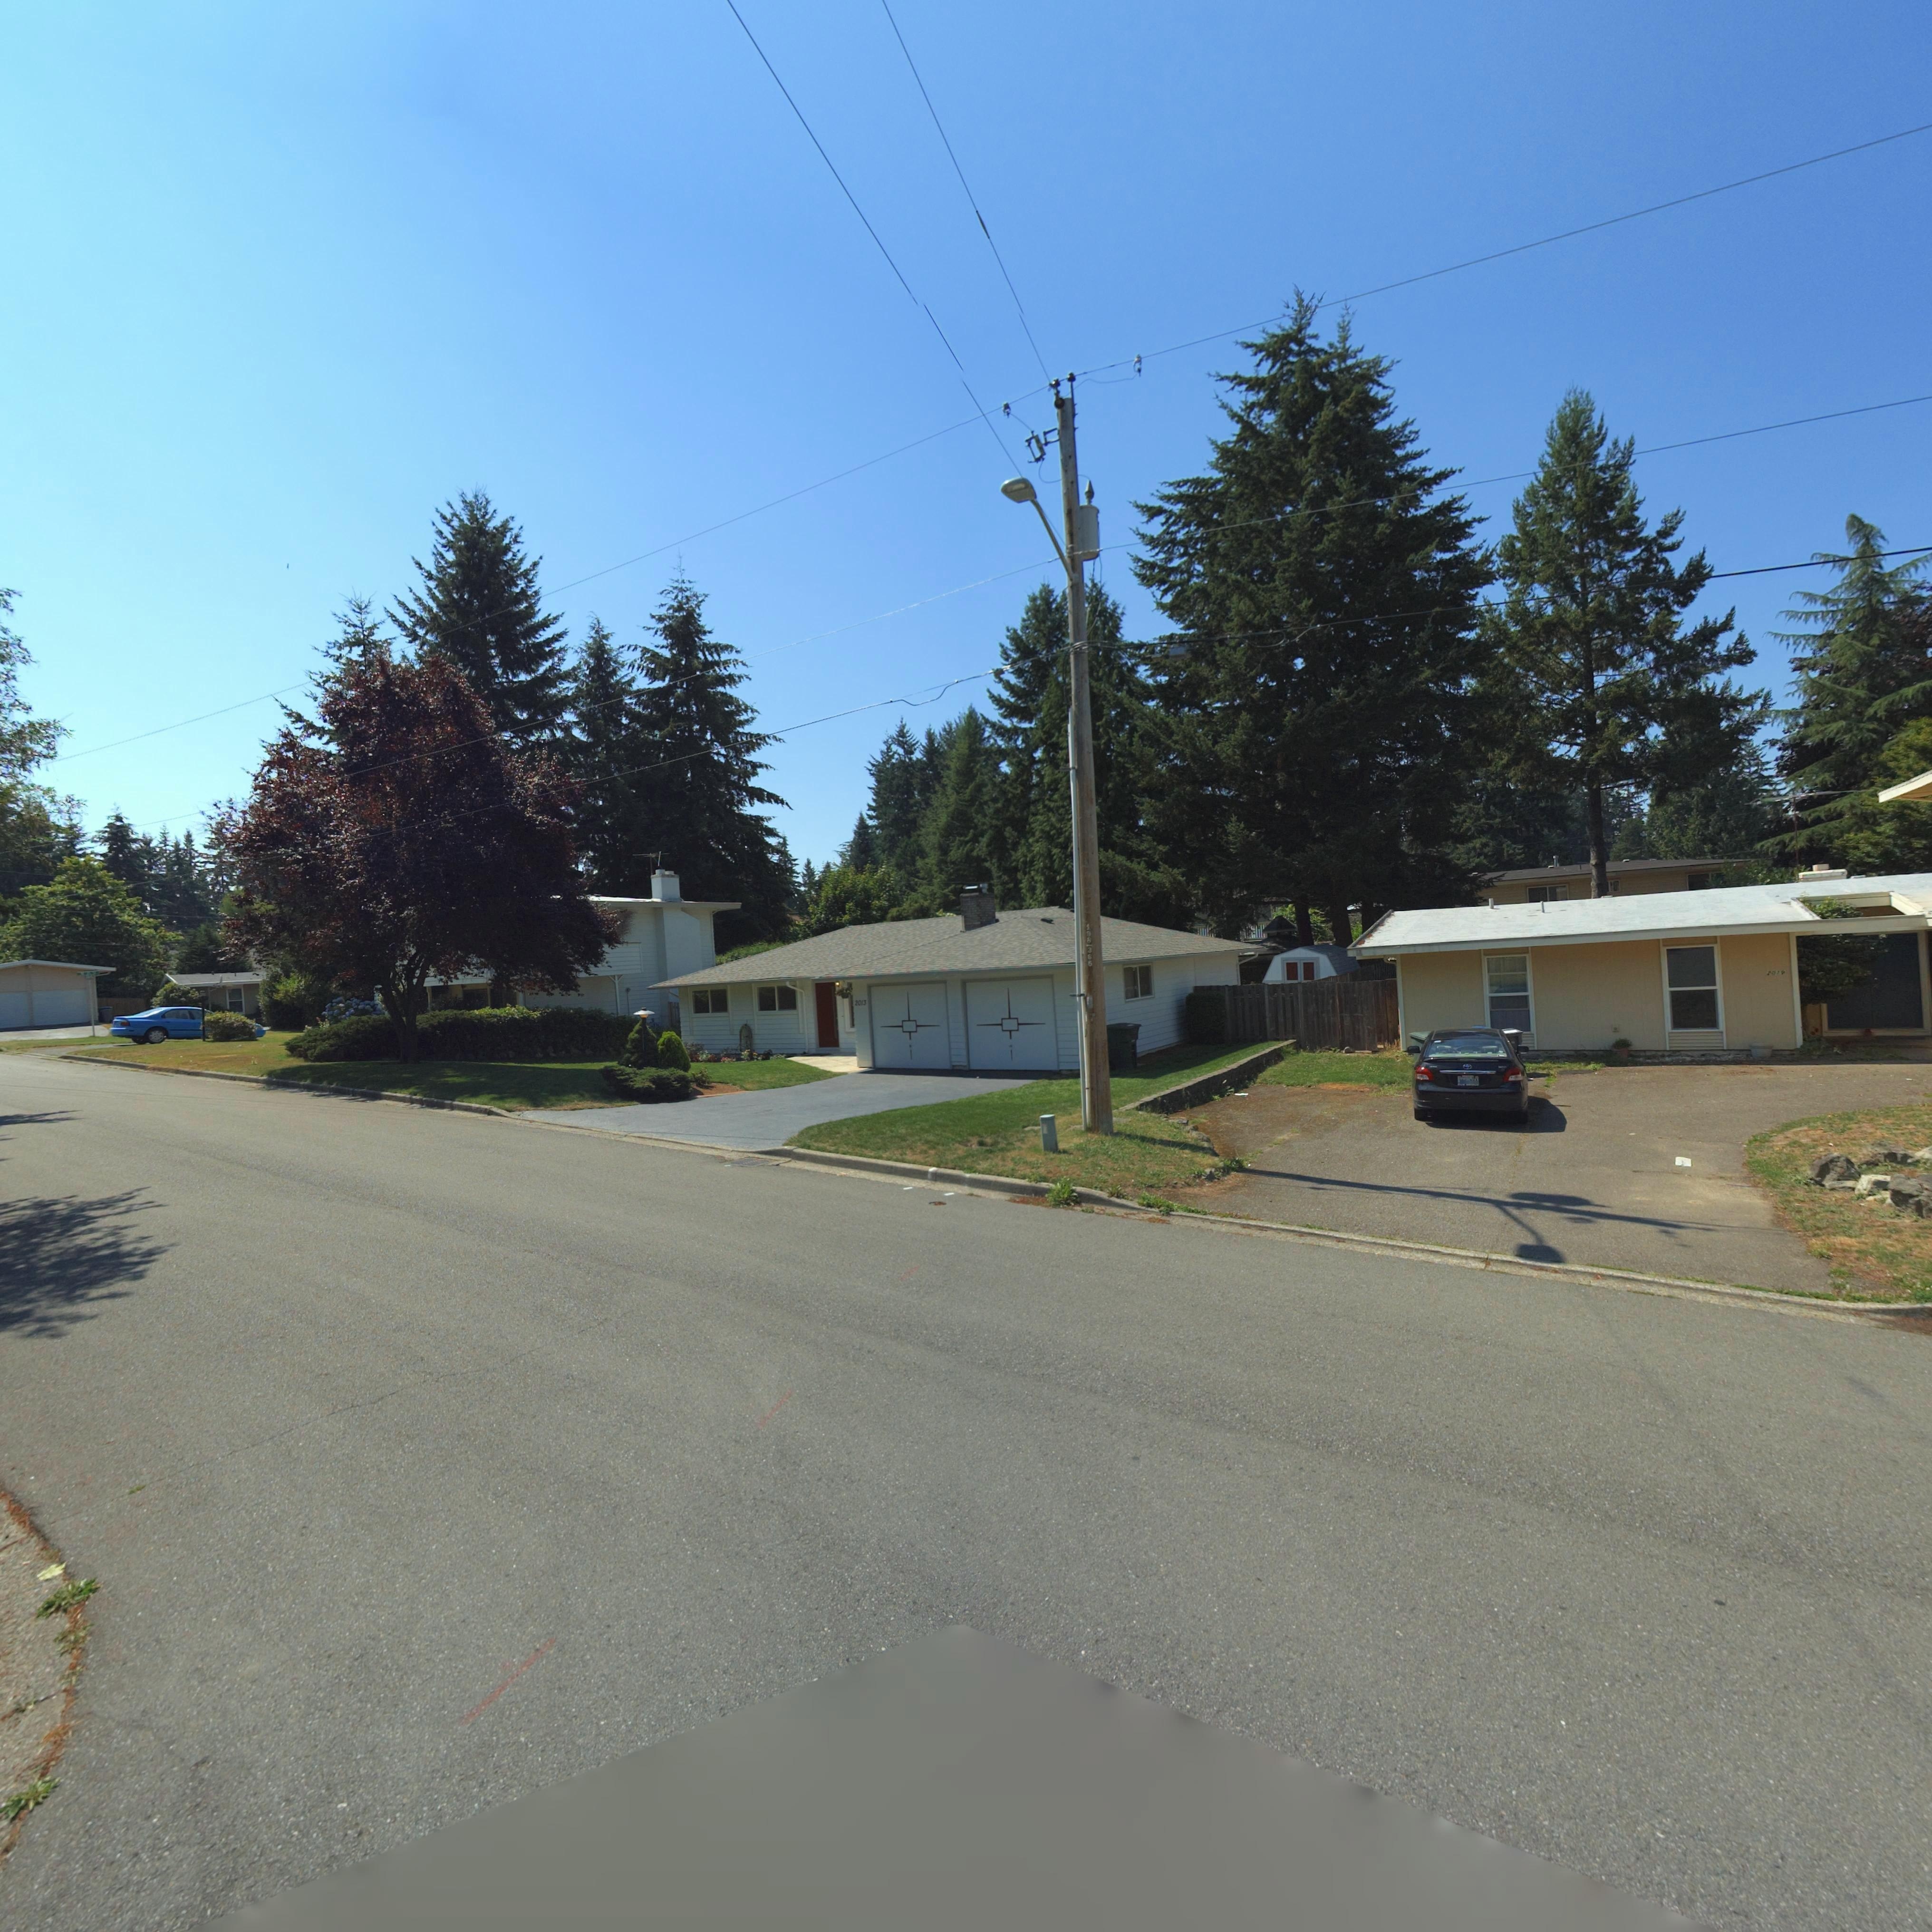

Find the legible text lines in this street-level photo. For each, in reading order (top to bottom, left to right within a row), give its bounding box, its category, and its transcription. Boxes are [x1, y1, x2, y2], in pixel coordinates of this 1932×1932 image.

[1766, 970, 1785, 976] StreetNumber: *10*
[855, 1000, 867, 1006] StreetNumber: 2013